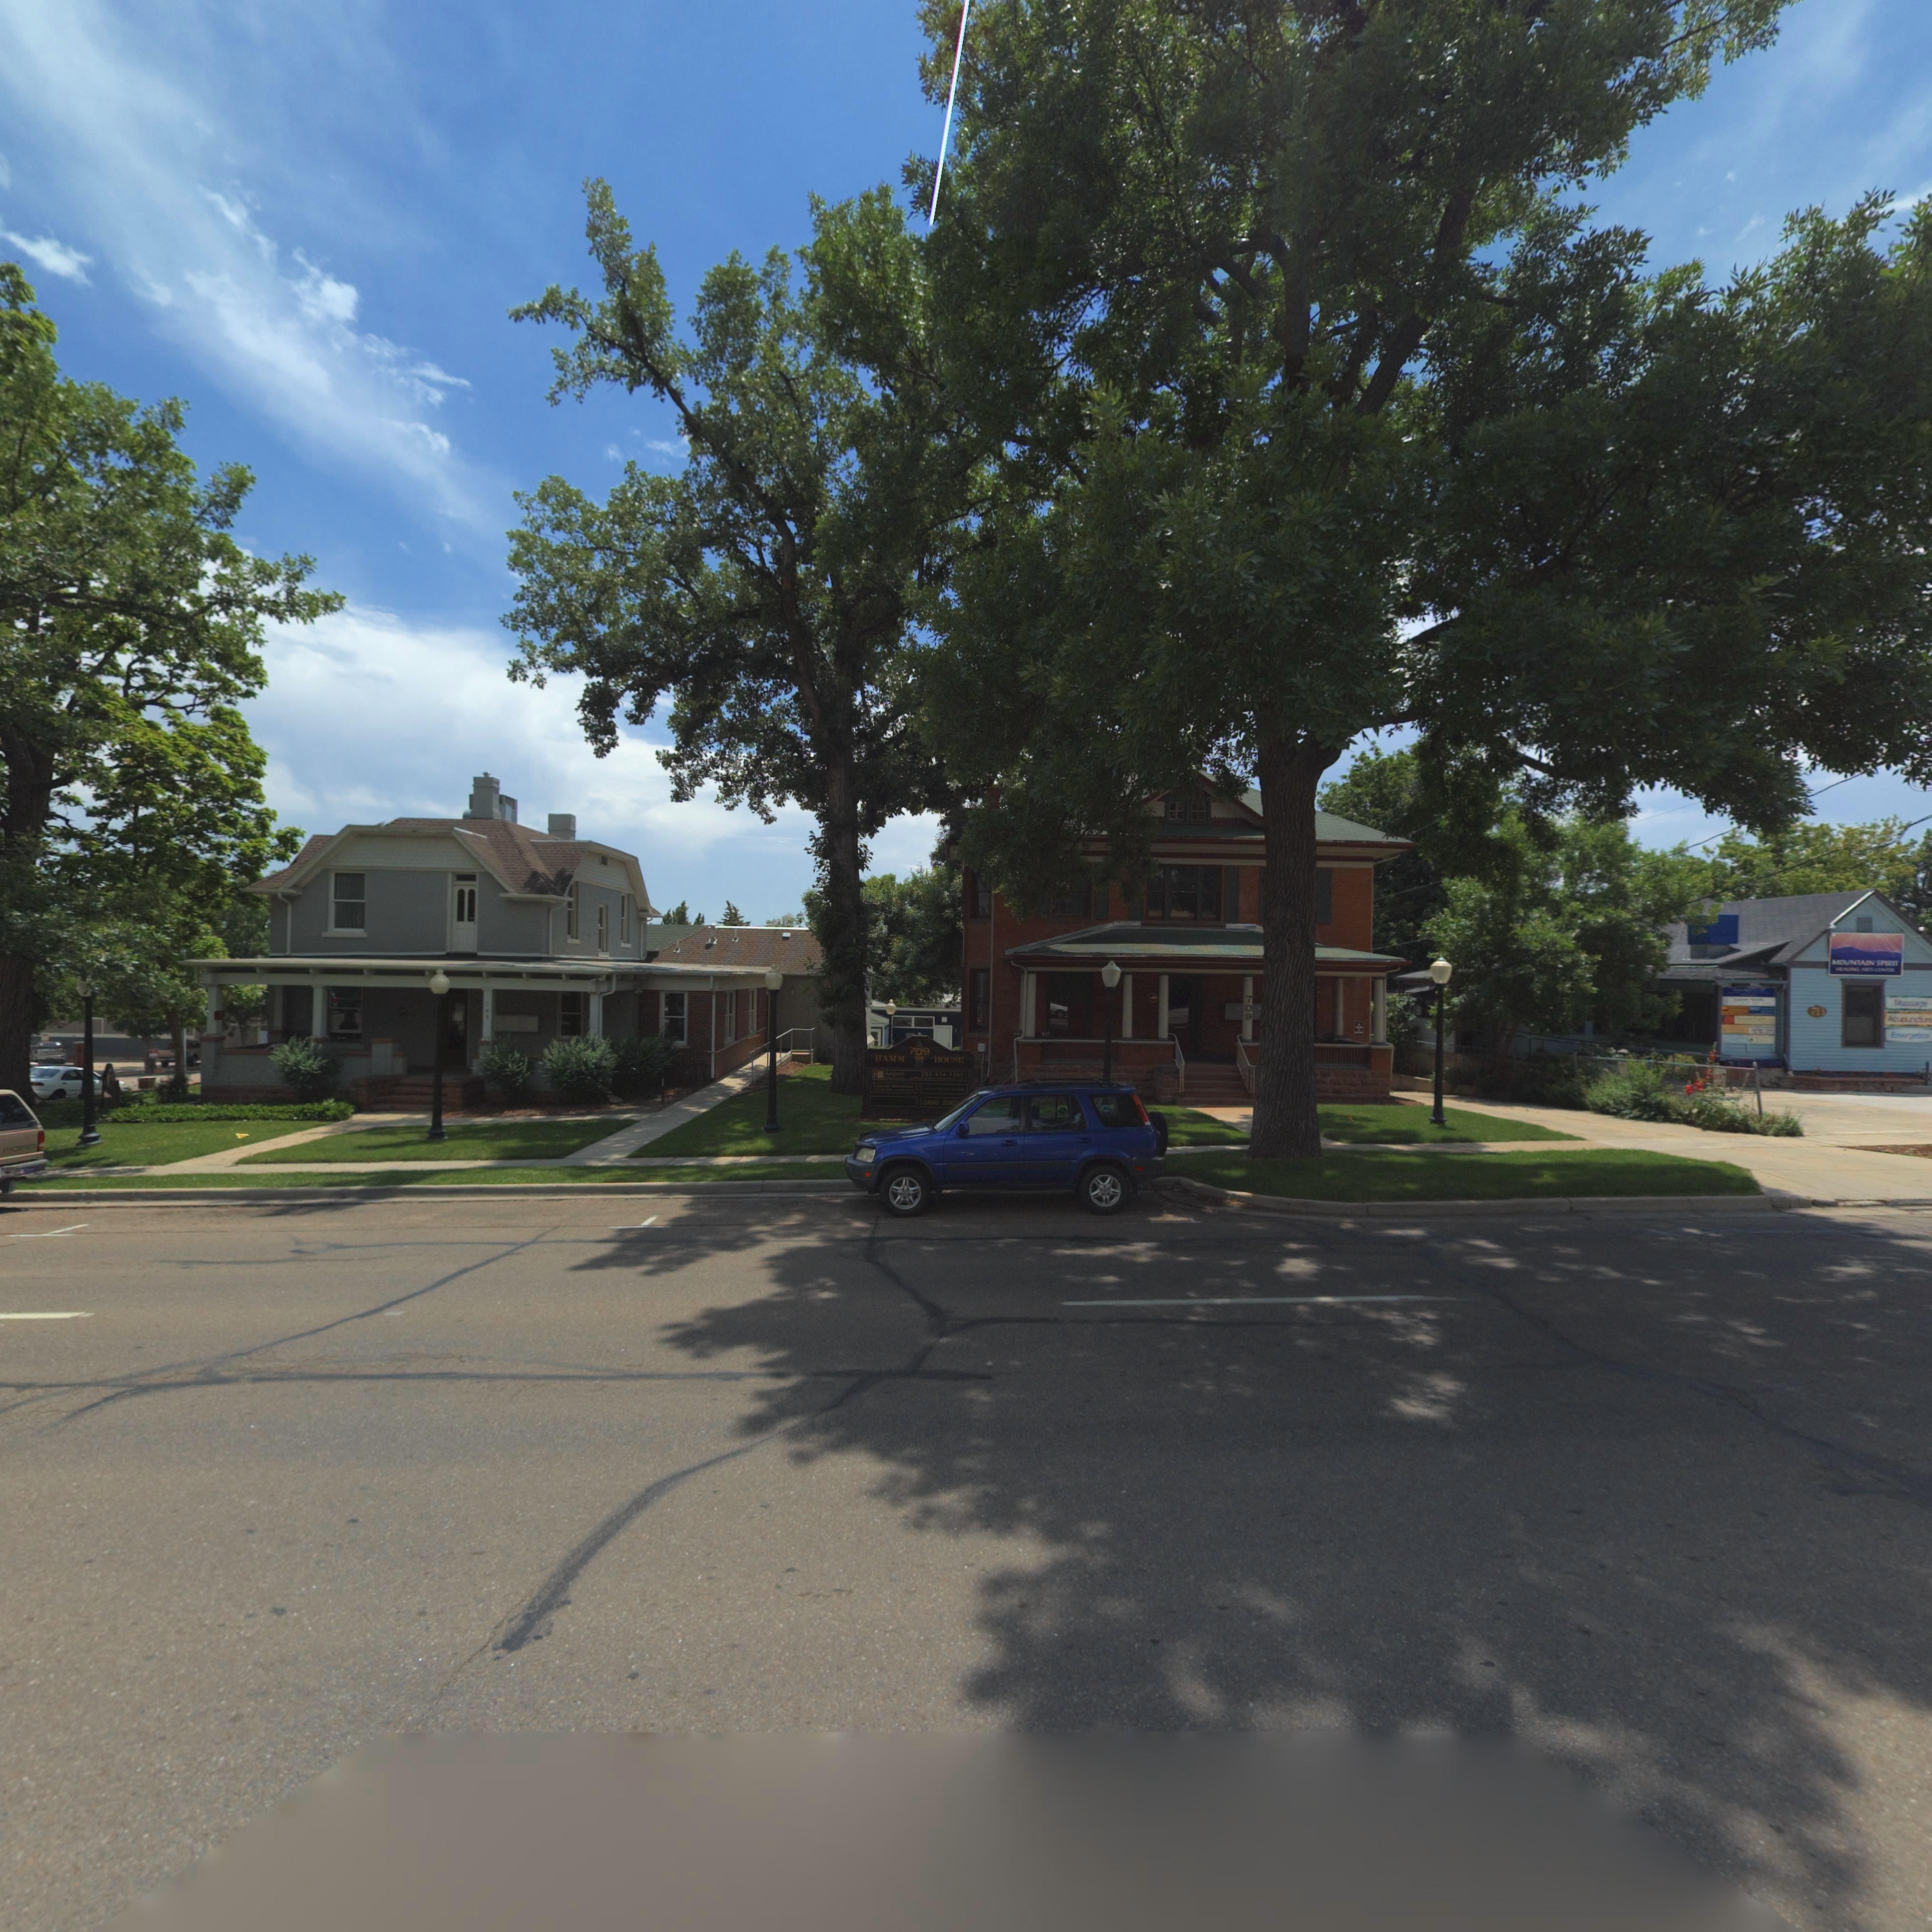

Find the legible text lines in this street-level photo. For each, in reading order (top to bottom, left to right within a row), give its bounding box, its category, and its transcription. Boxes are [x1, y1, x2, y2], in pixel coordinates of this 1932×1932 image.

[1831, 959, 1900, 966] BusinessName: MOUNTAIN SPIRIT
[1835, 966, 1895, 972] BusinessName: HEALING ARTS CENTER
[485, 1001, 490, 1019] StreetNumber: *05
[1246, 995, 1252, 1021] StreetNumber: 709
[1810, 1007, 1825, 1016] StreetNumber: 713
[909, 1046, 930, 1056] StreetNumber: 709
[885, 1071, 905, 1077] BusinessName: Aspen
[872, 1083, 914, 1089] BusinessName: Colorado Wh***hair